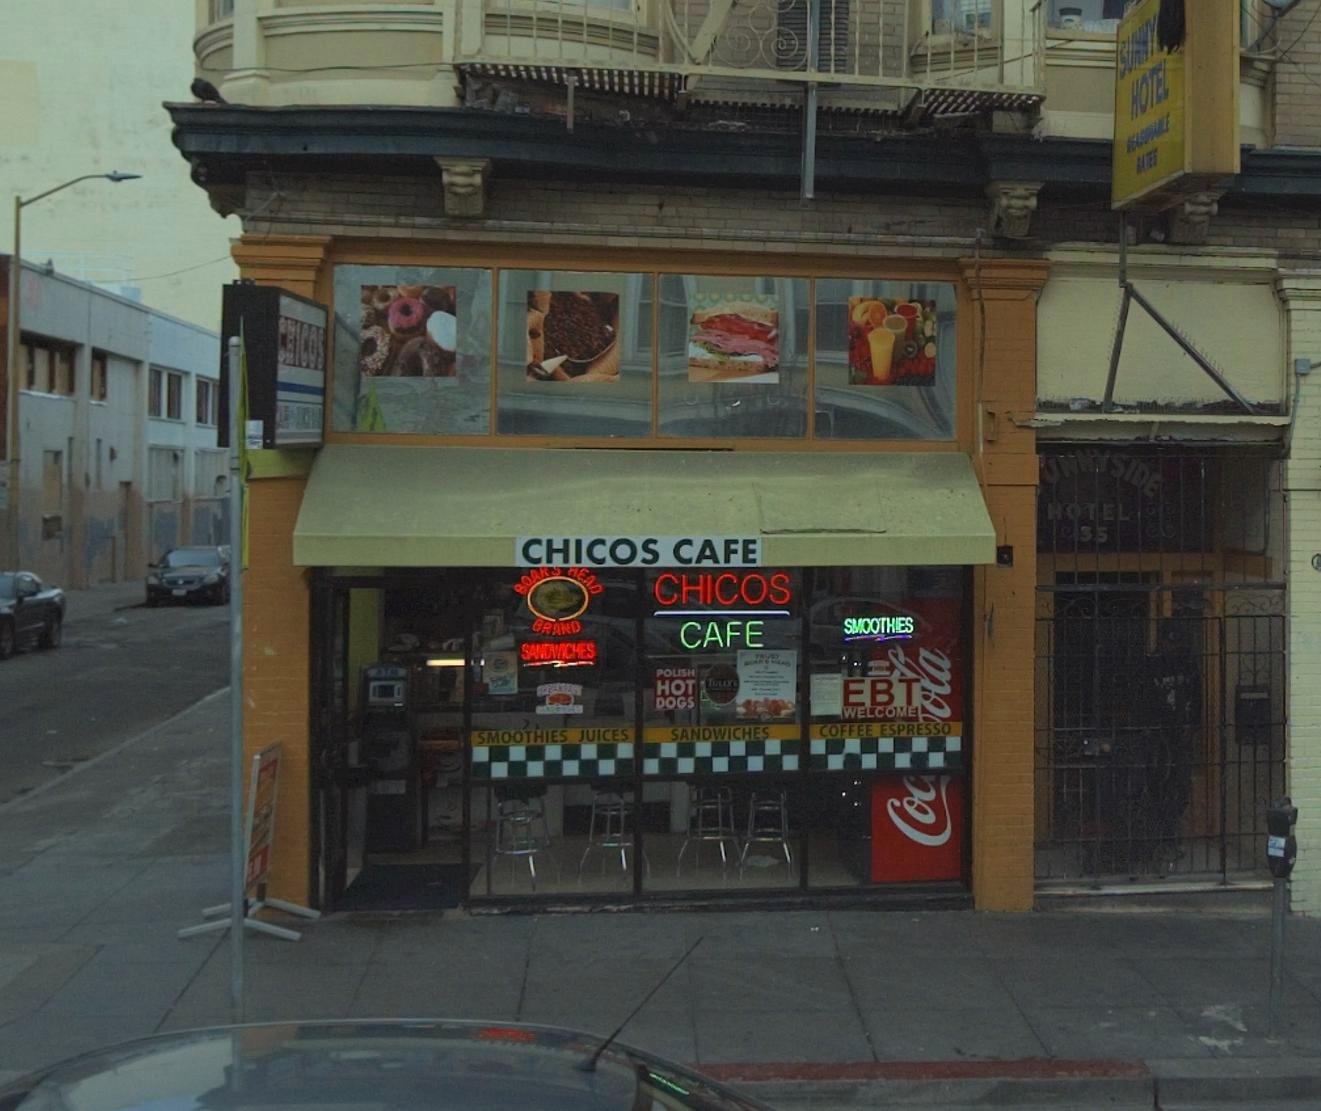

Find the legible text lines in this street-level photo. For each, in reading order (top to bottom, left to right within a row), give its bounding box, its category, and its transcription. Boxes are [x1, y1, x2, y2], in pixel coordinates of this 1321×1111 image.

[1115, 10, 1159, 83] BusinessName: SUMMY
[1128, 53, 1172, 127] BusinessName: HOTEL
[1143, 142, 1161, 174] None: TES
[284, 315, 327, 372] BusinessName: HICOS
[520, 535, 760, 567] BusinessName: CHICOS CAFE
[507, 564, 609, 599] None: BOA** *EAD
[652, 570, 794, 608] BusinessName: CHICOS
[528, 614, 586, 638] None: BRAND
[519, 638, 600, 663] None: SANDWICHES
[678, 618, 767, 652] BusinessName: CAFE
[841, 614, 917, 637] None: SMOOTHIES
[654, 694, 697, 713] None: DOGS
[654, 665, 698, 680] None: POLISH
[655, 677, 698, 697] None: HOT
[840, 704, 919, 721] None: WELCOME
[841, 676, 922, 708] None: EBT
[475, 726, 632, 747] None: SMOOTHIES JUICES
[669, 724, 772, 743] None: SANDWICHES
[817, 720, 954, 740] None: COFFEE ESPRESSO
[884, 794, 954, 851] None: Co